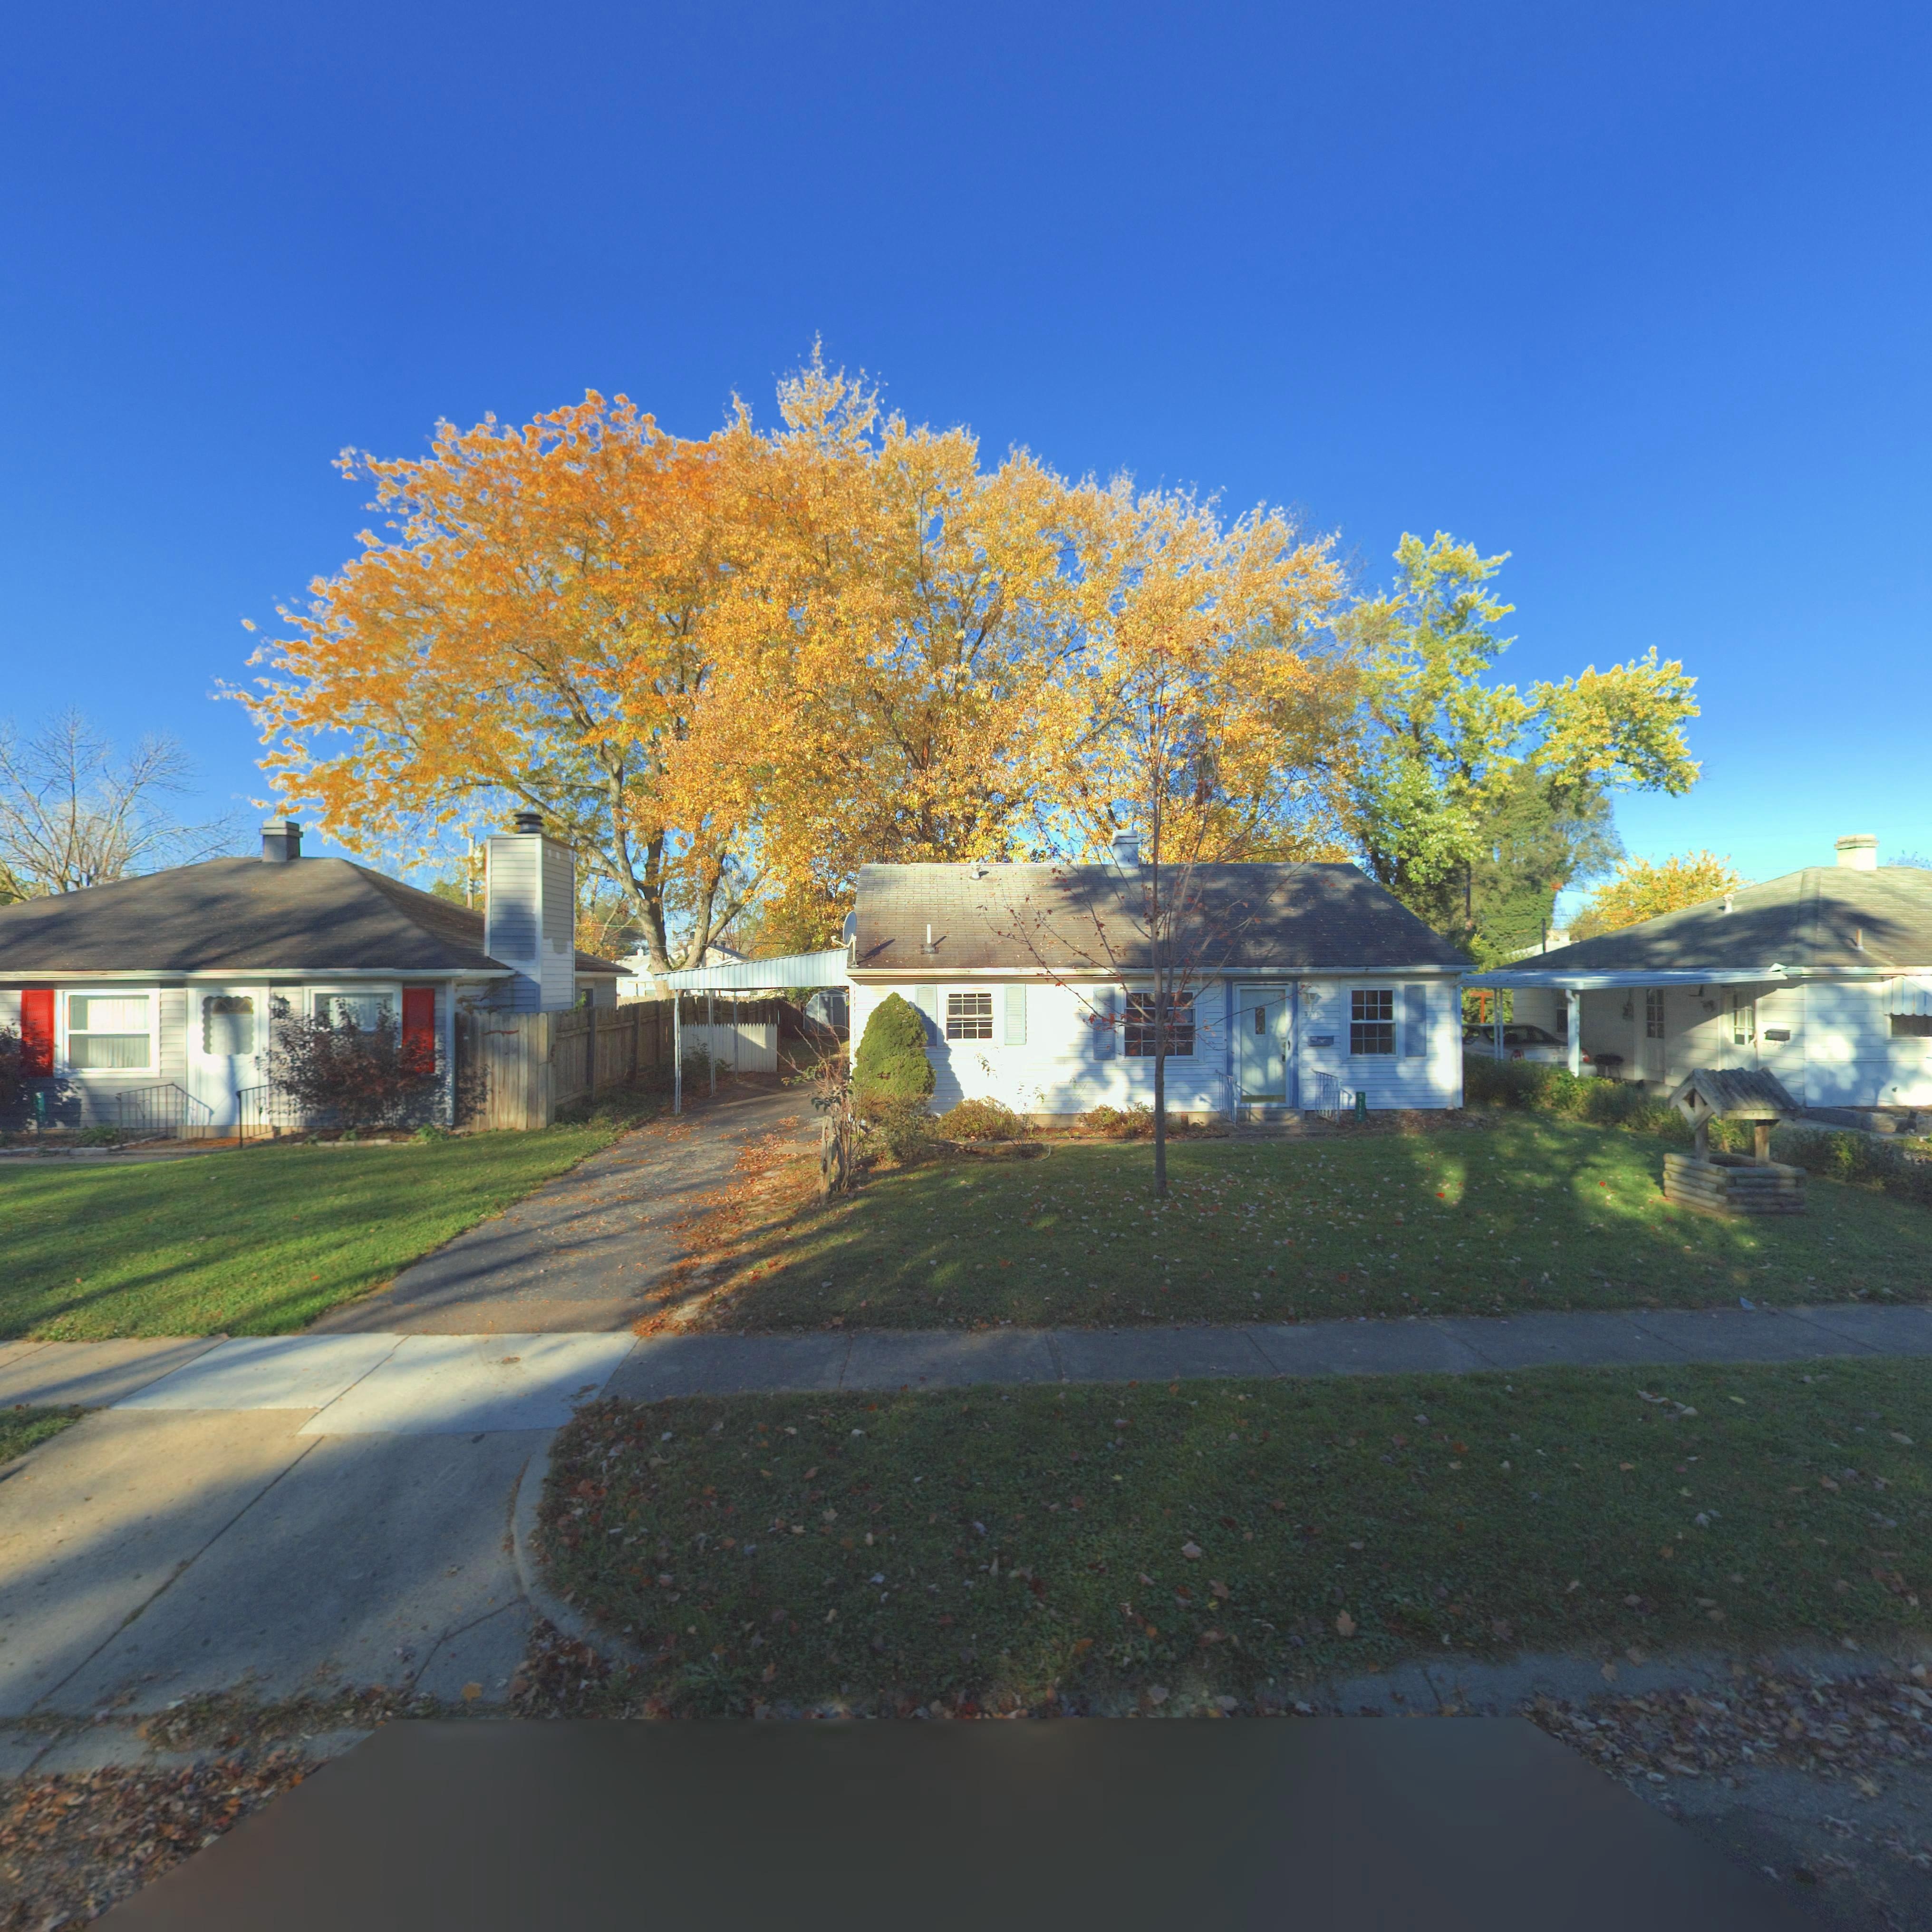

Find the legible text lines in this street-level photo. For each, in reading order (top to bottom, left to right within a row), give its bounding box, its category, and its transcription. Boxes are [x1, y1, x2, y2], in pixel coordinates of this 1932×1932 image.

[1304, 1011, 1320, 1017] StreetNumber: 5117
[35, 1092, 44, 1123] StreetNumber: 5***
[1357, 1093, 1363, 1120] StreetNumber: 5117